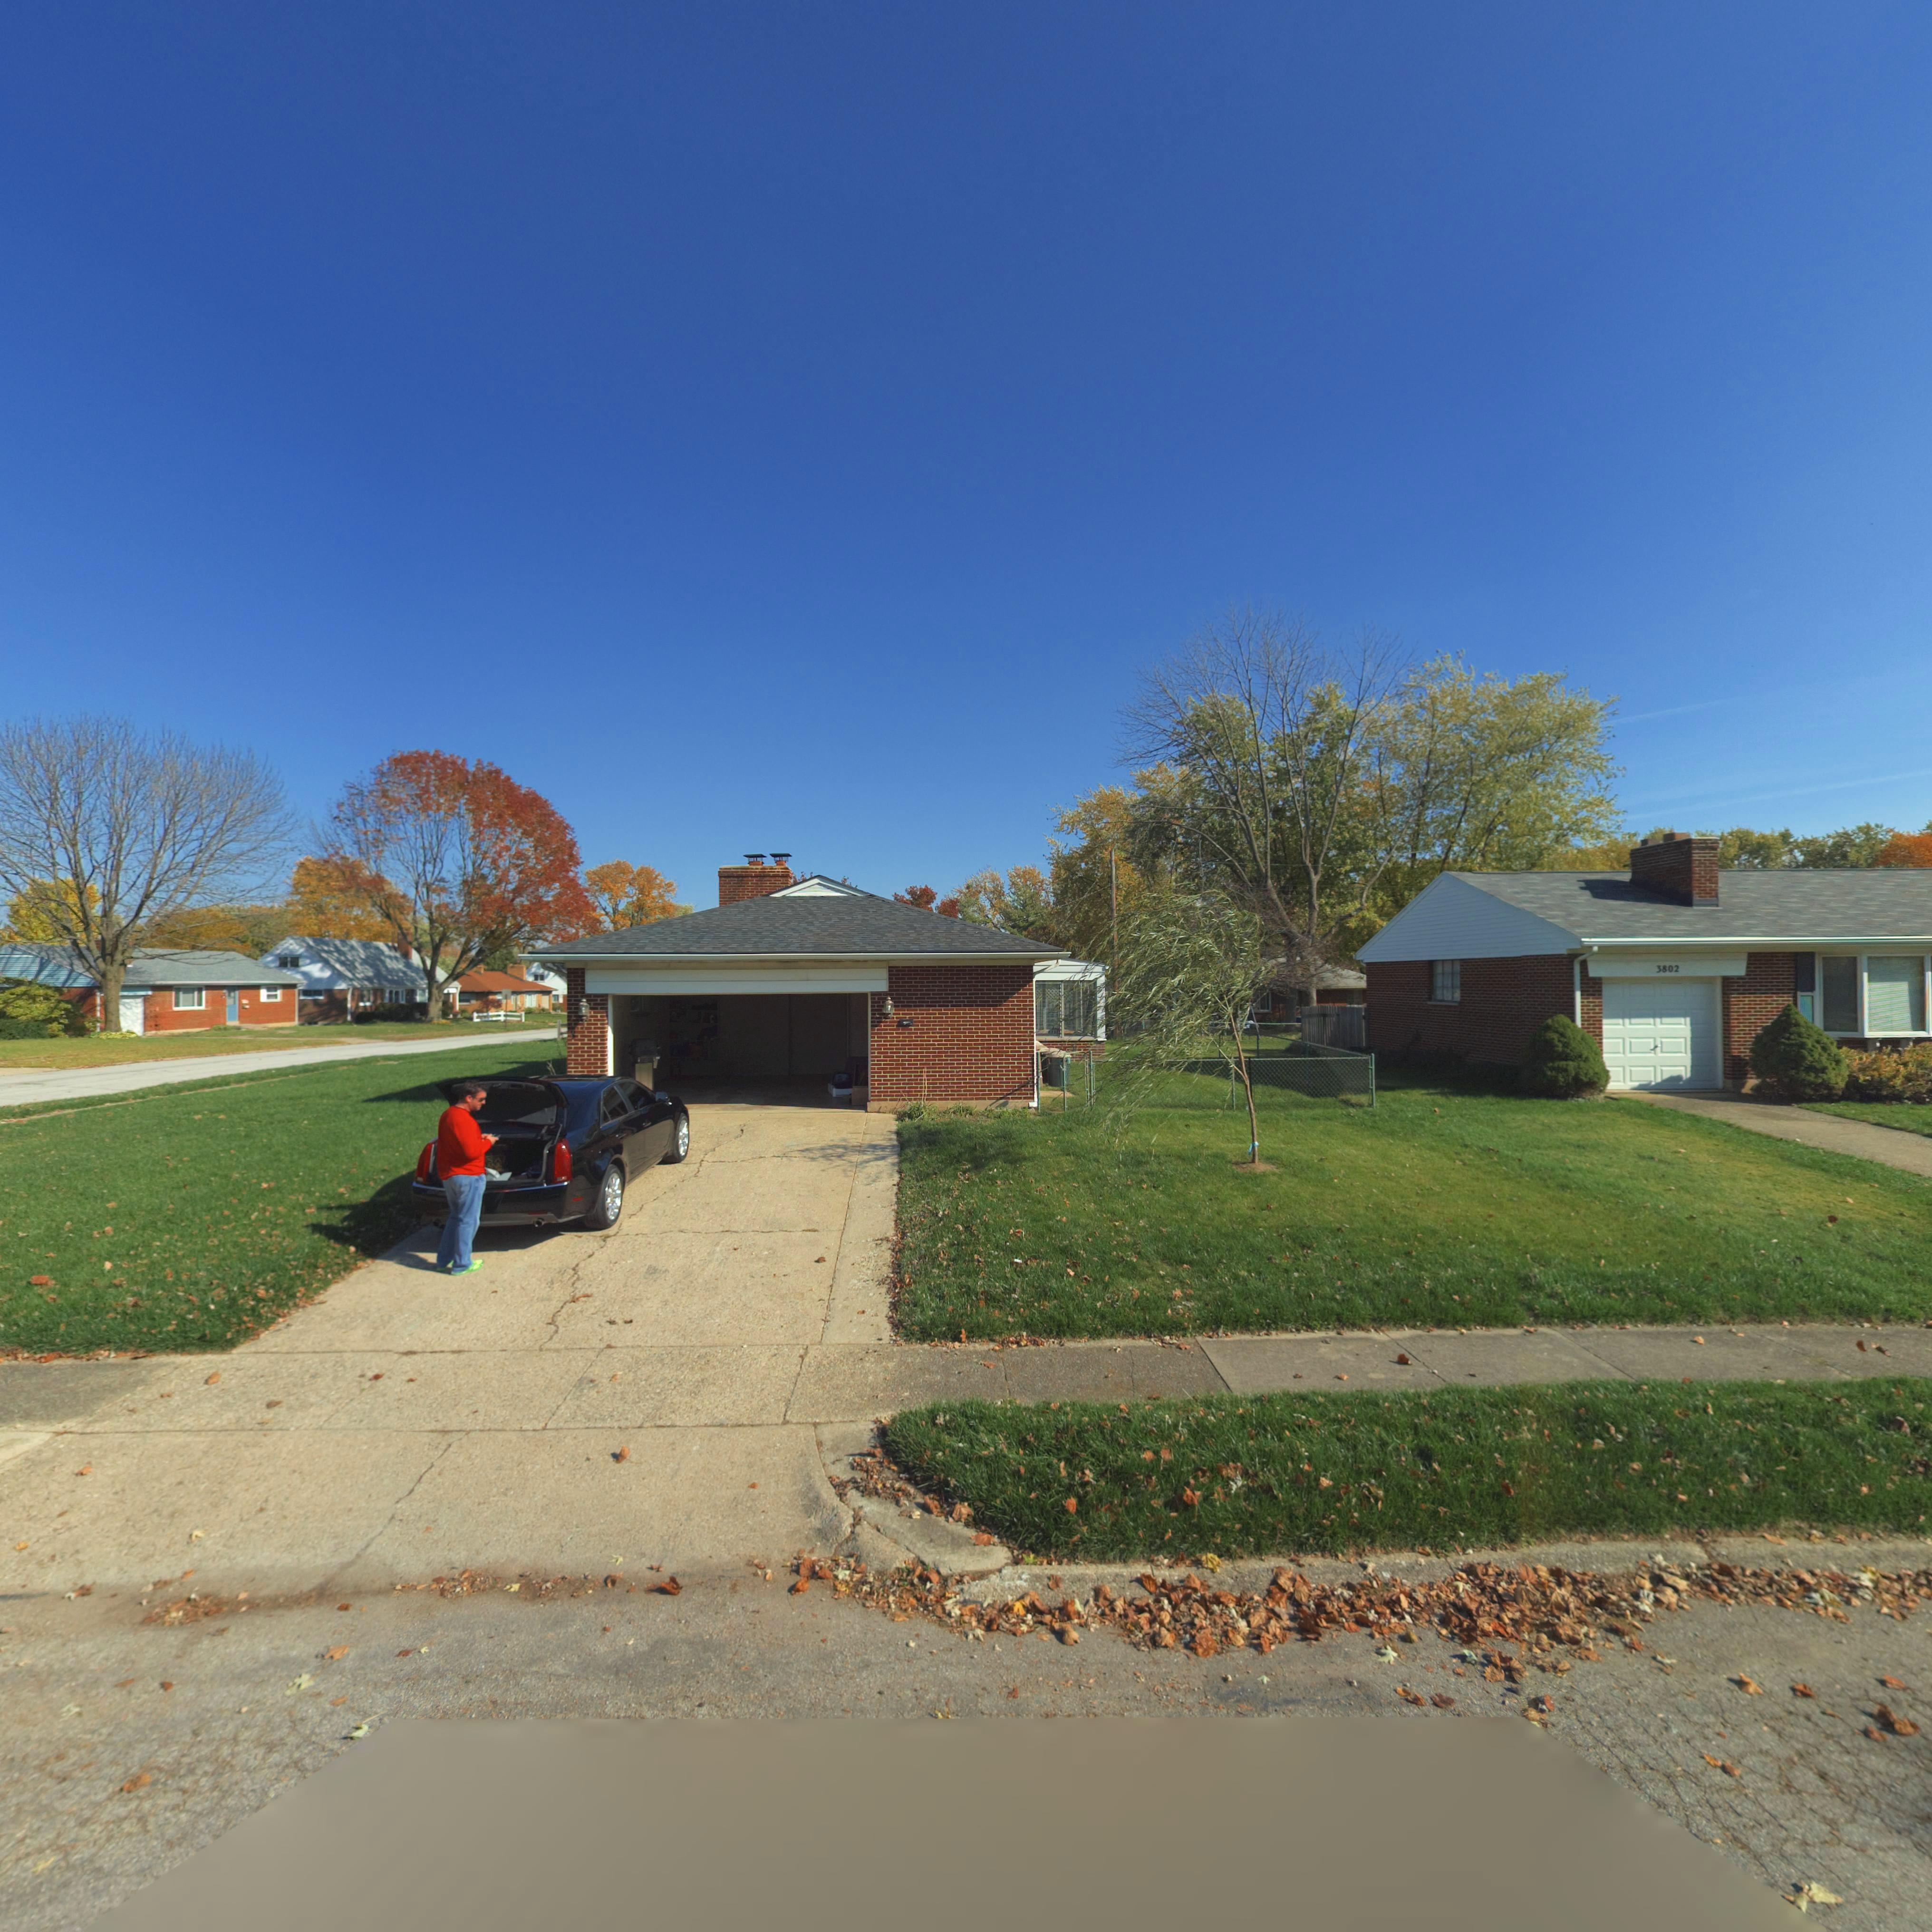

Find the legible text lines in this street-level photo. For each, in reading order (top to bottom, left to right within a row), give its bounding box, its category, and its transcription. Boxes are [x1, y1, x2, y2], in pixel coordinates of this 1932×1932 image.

[1655, 965, 1680, 974] StreetNumber: 3802